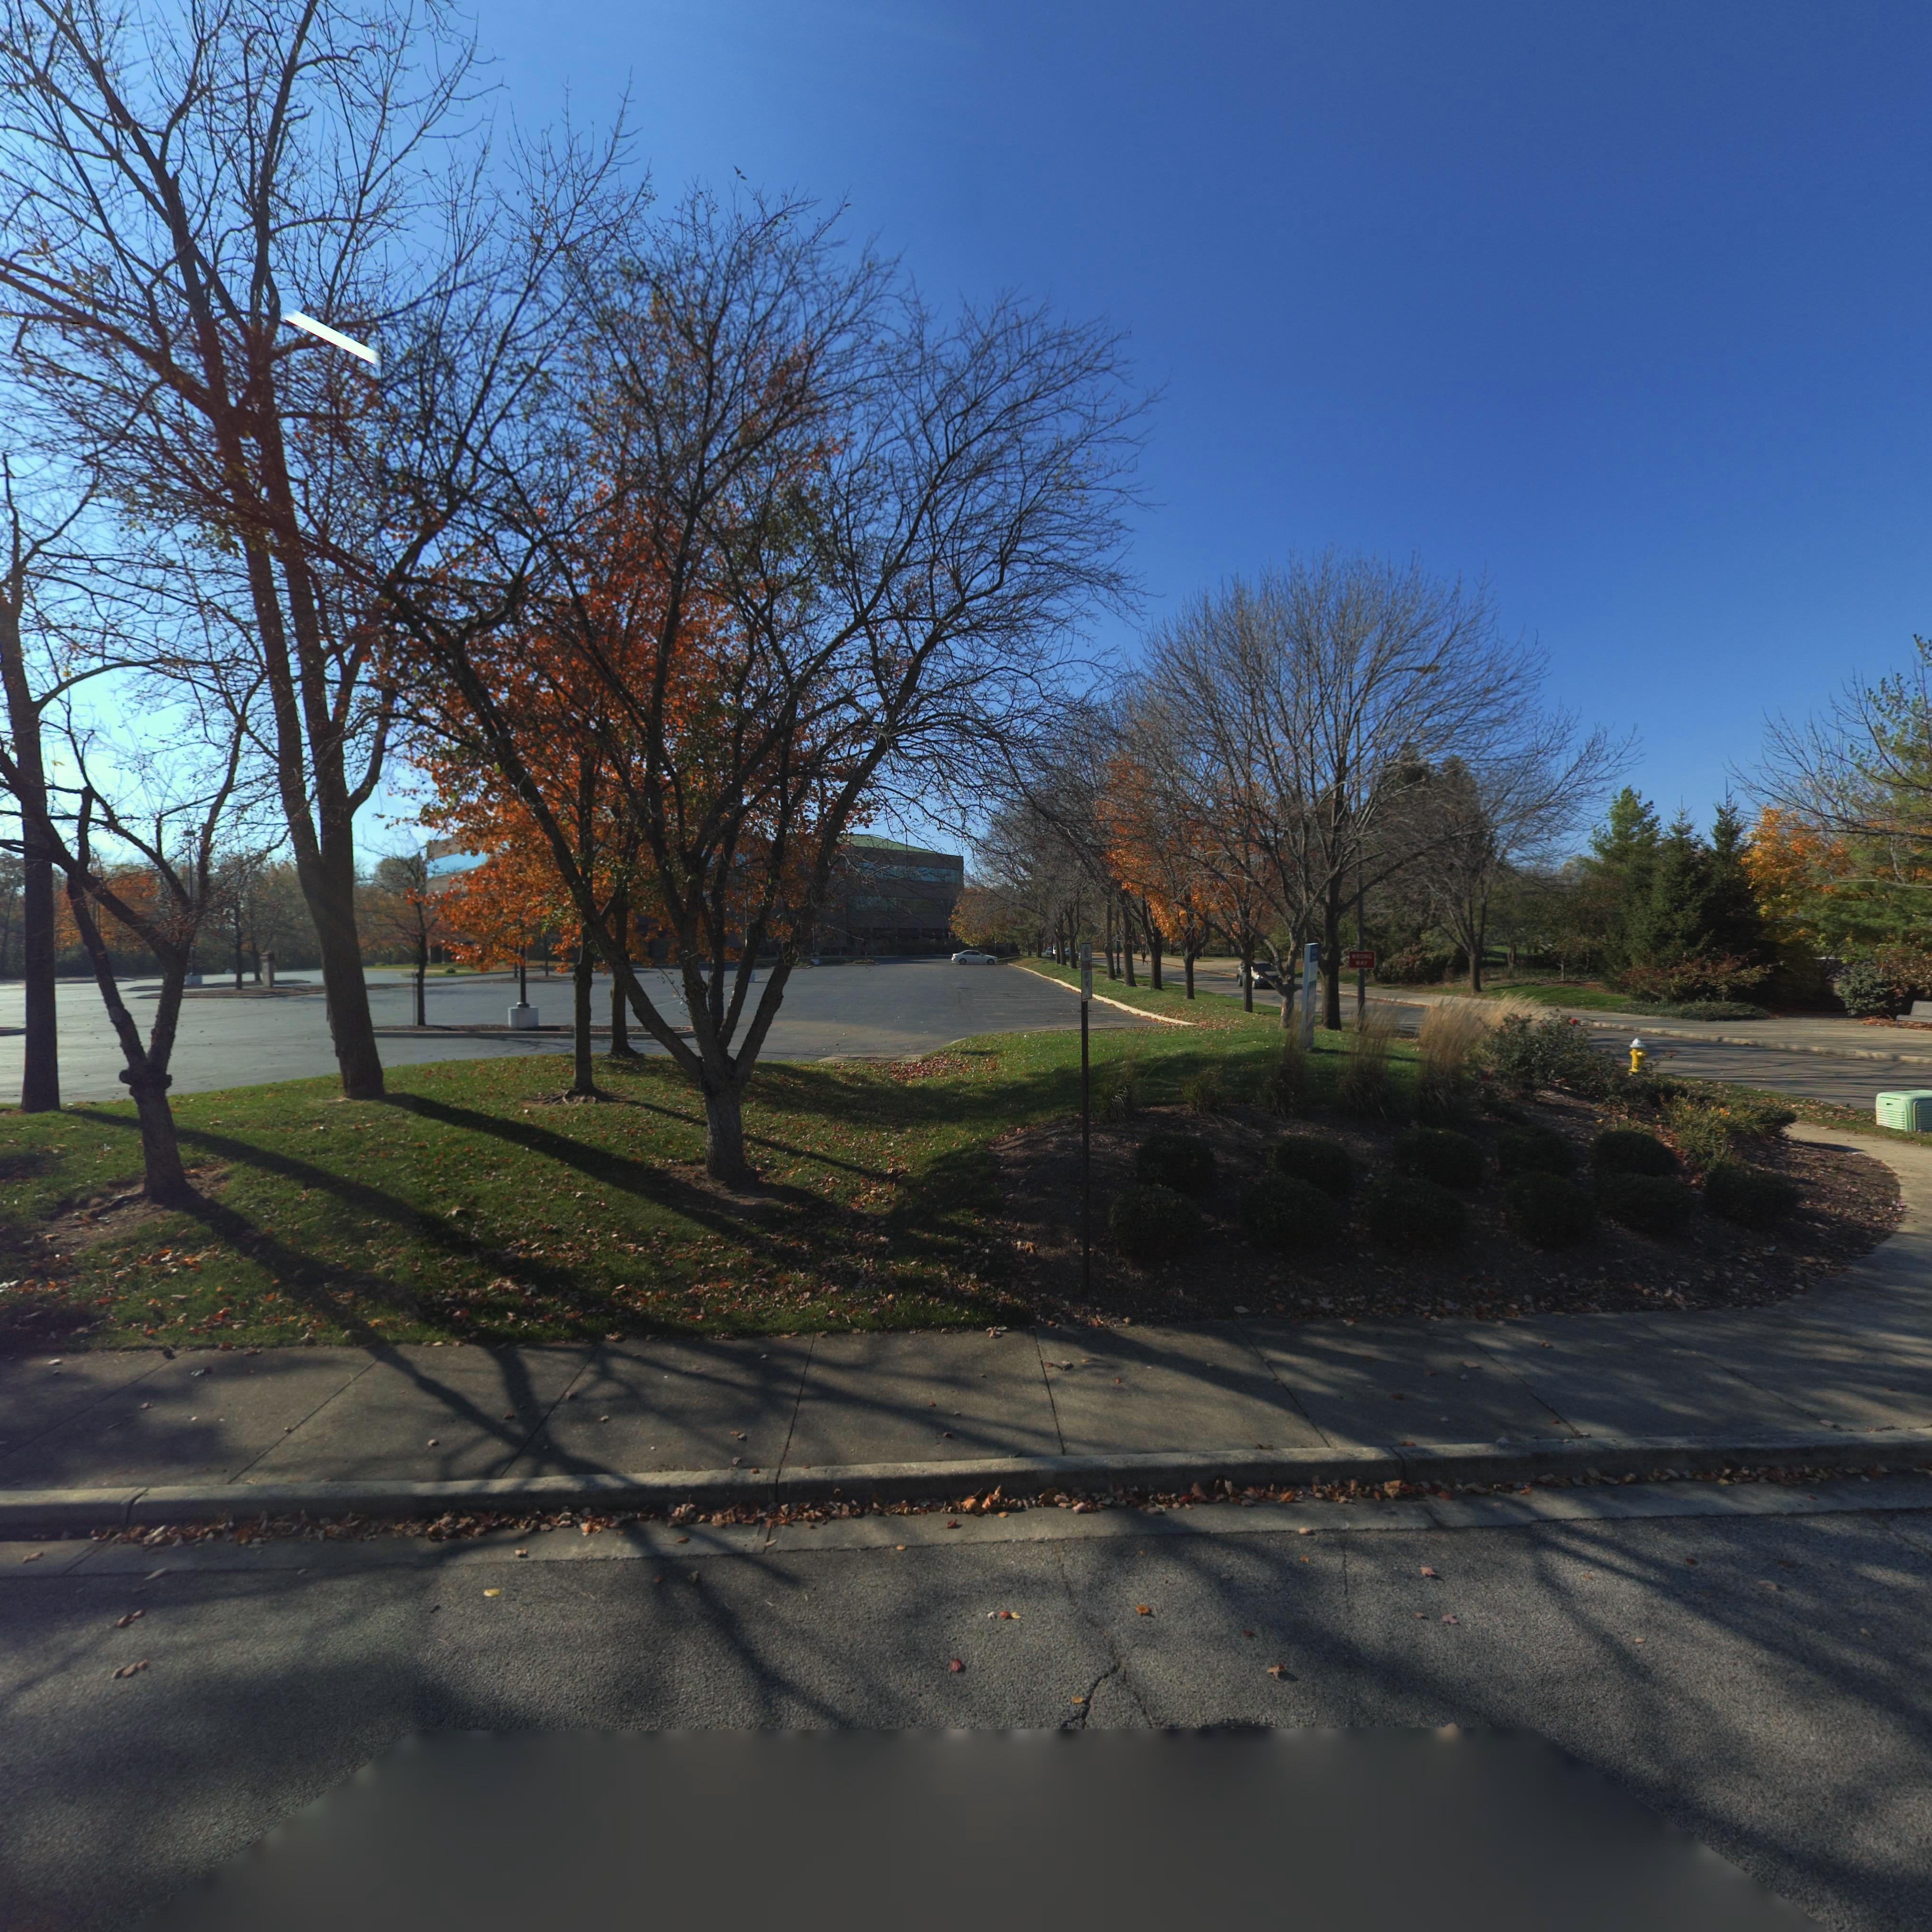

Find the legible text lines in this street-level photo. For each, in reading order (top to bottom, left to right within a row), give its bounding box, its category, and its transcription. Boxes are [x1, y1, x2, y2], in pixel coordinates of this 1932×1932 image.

[1352, 953, 1372, 959] None: WRONG
[1355, 959, 1368, 966] None: WAY